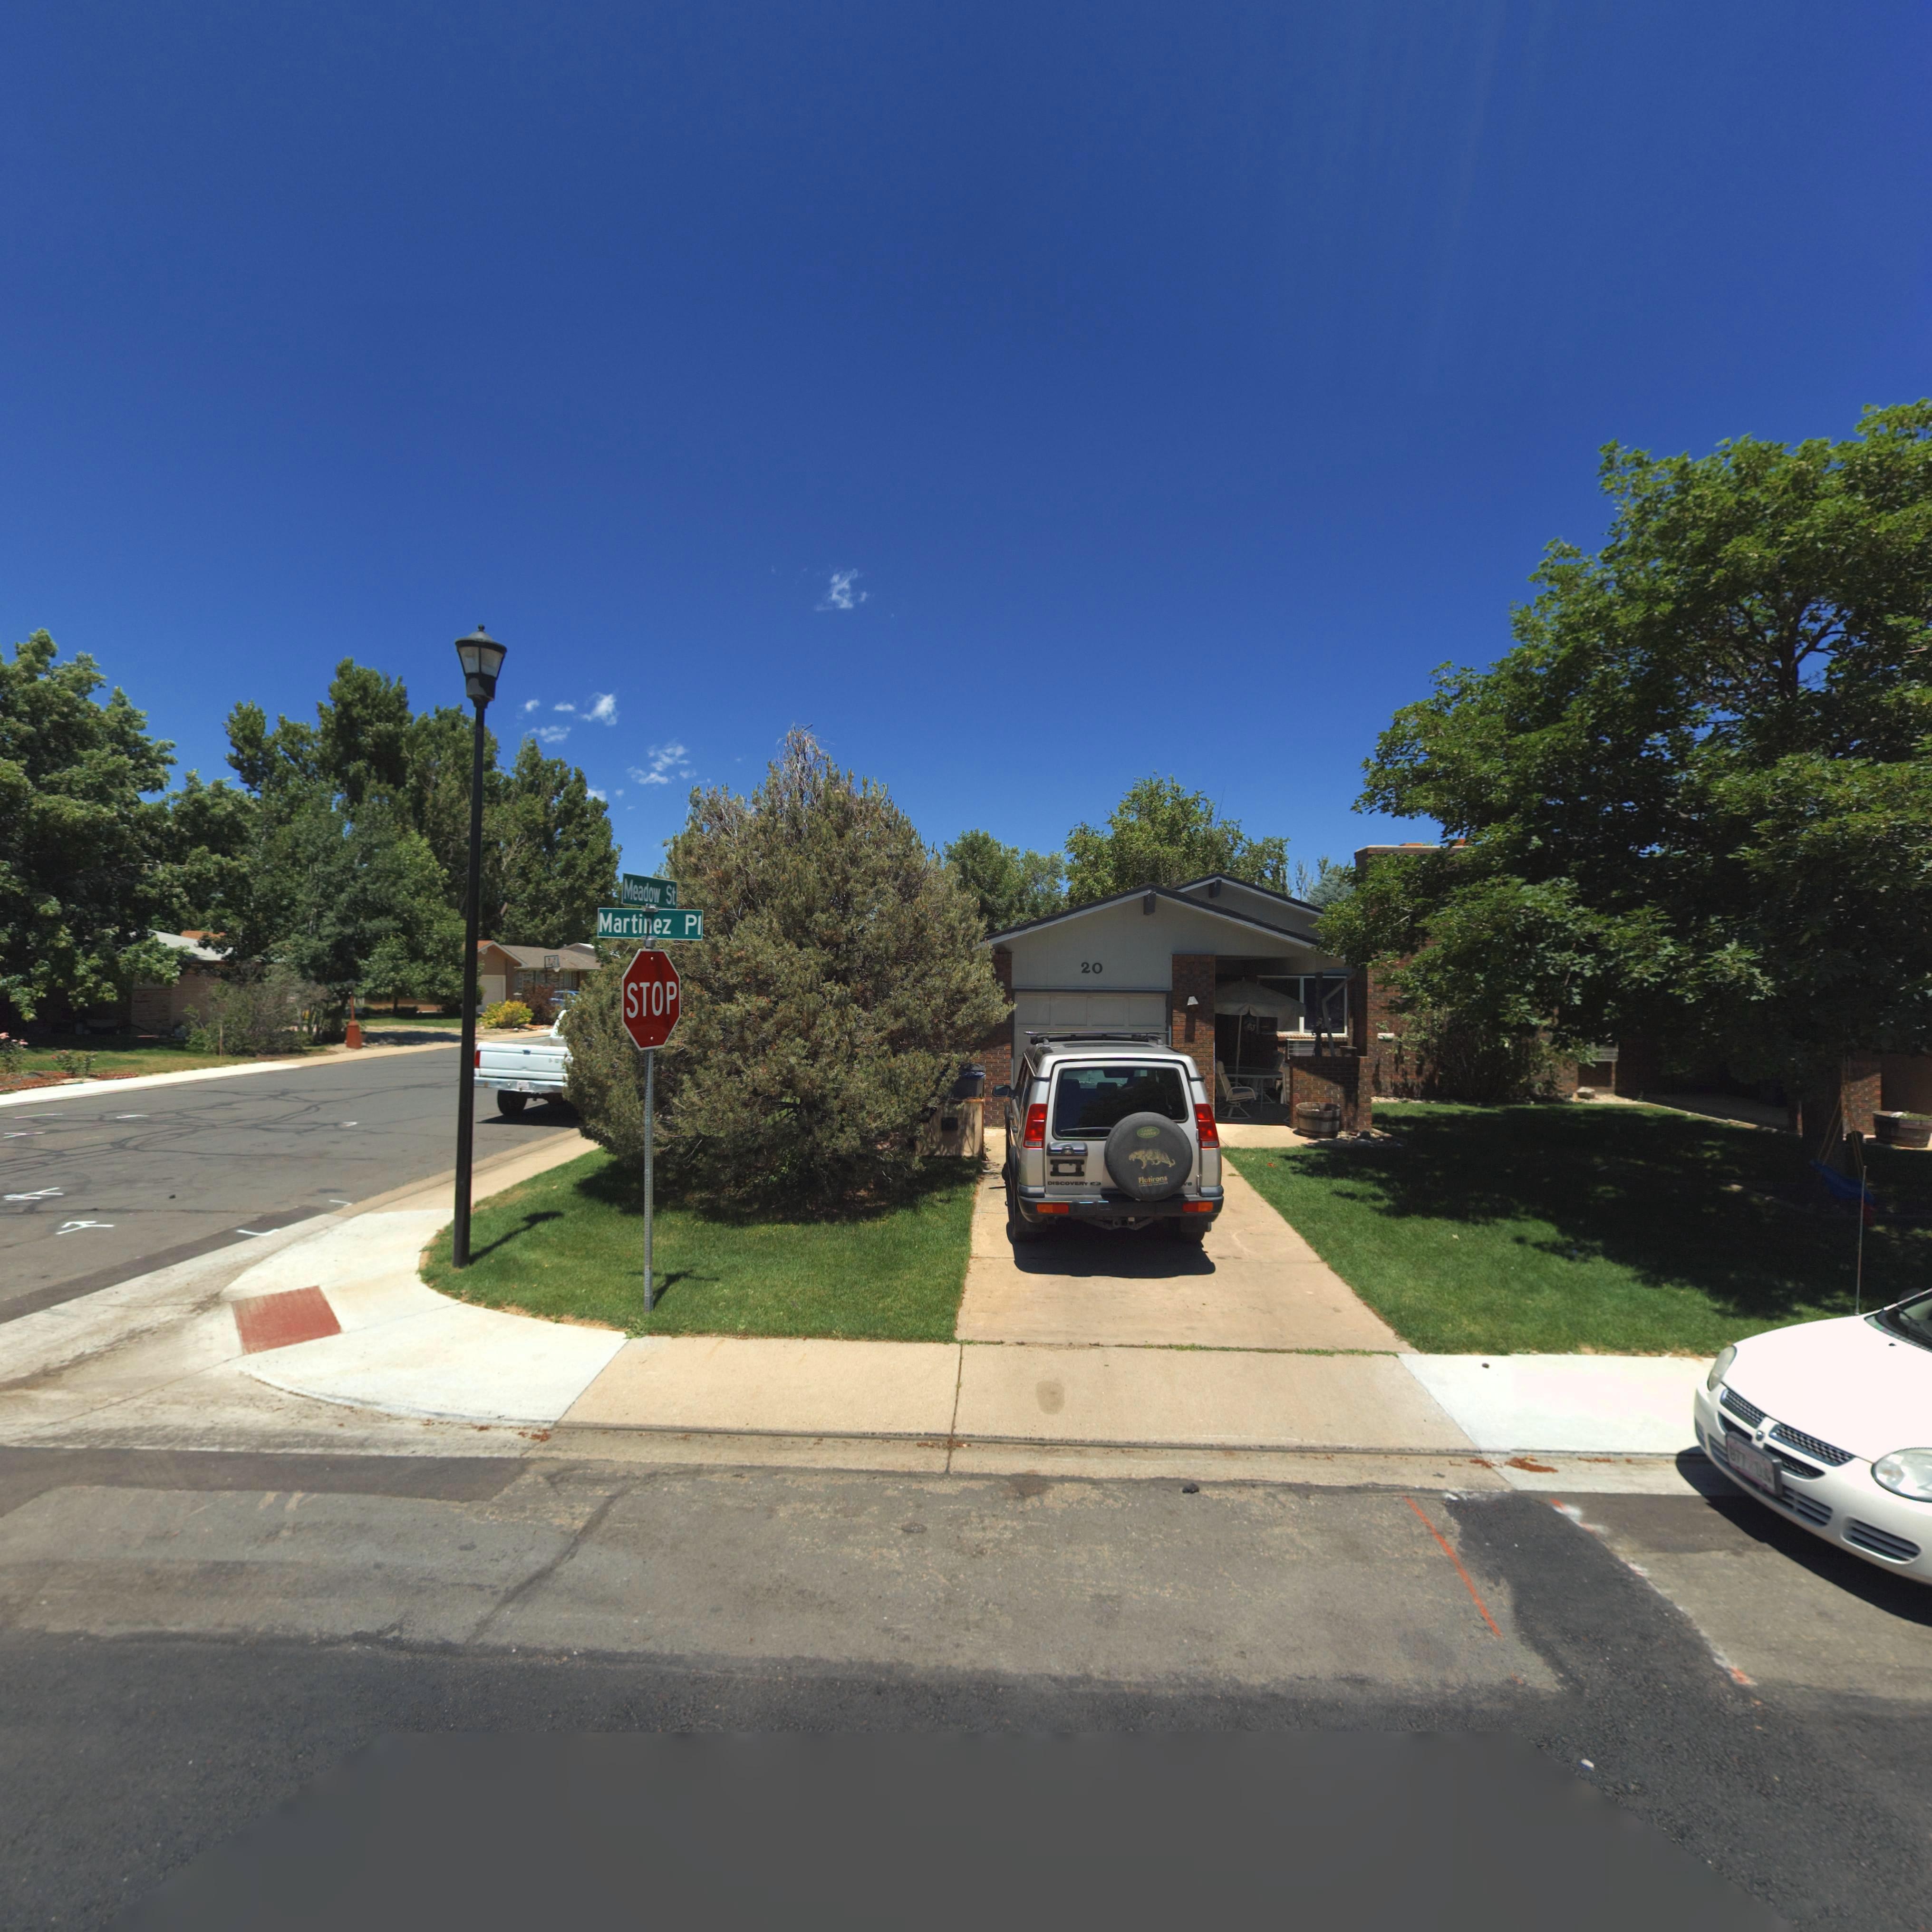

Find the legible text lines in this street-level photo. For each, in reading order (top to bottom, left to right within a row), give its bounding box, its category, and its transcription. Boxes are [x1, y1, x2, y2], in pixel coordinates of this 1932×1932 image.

[624, 877, 676, 906] StreetName: Meadow St
[598, 912, 702, 936] StreetName: Martinez Pl
[1081, 961, 1103, 974] StreetNumber: 20